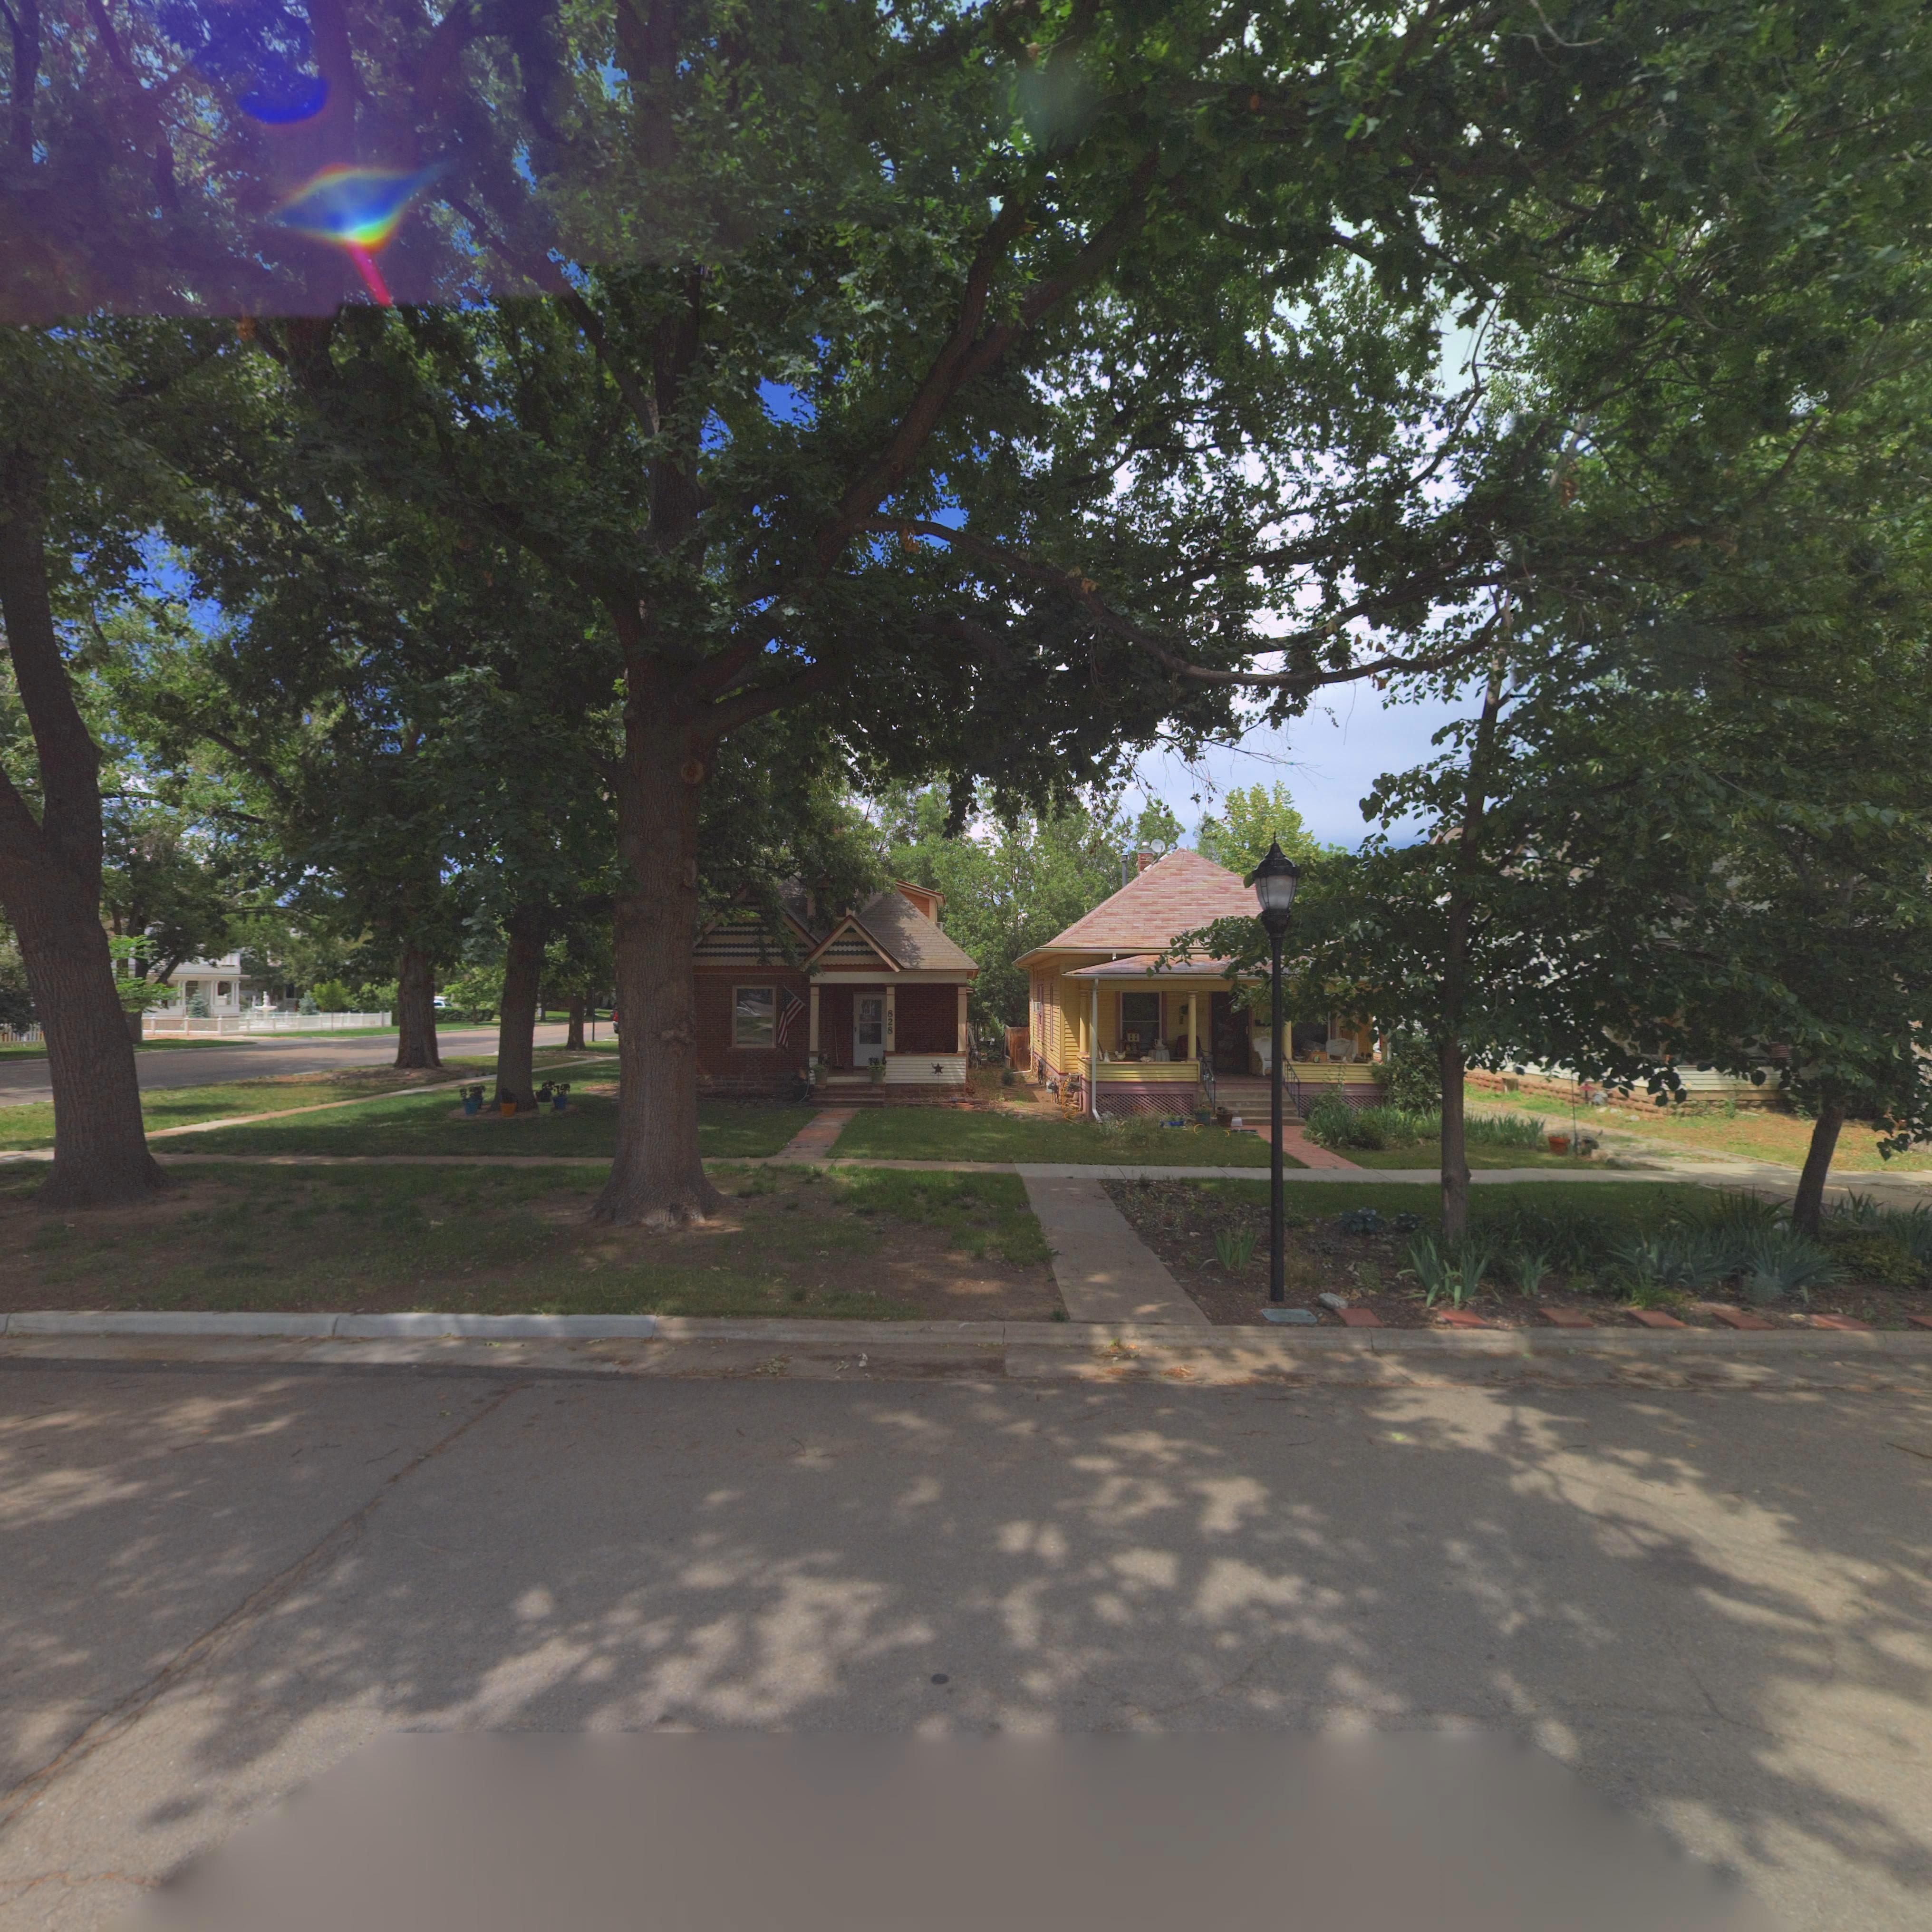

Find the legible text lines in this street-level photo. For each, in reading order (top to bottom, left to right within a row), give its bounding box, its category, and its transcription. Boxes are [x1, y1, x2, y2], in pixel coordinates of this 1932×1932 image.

[888, 1010, 893, 1034] StreetNumber: 828